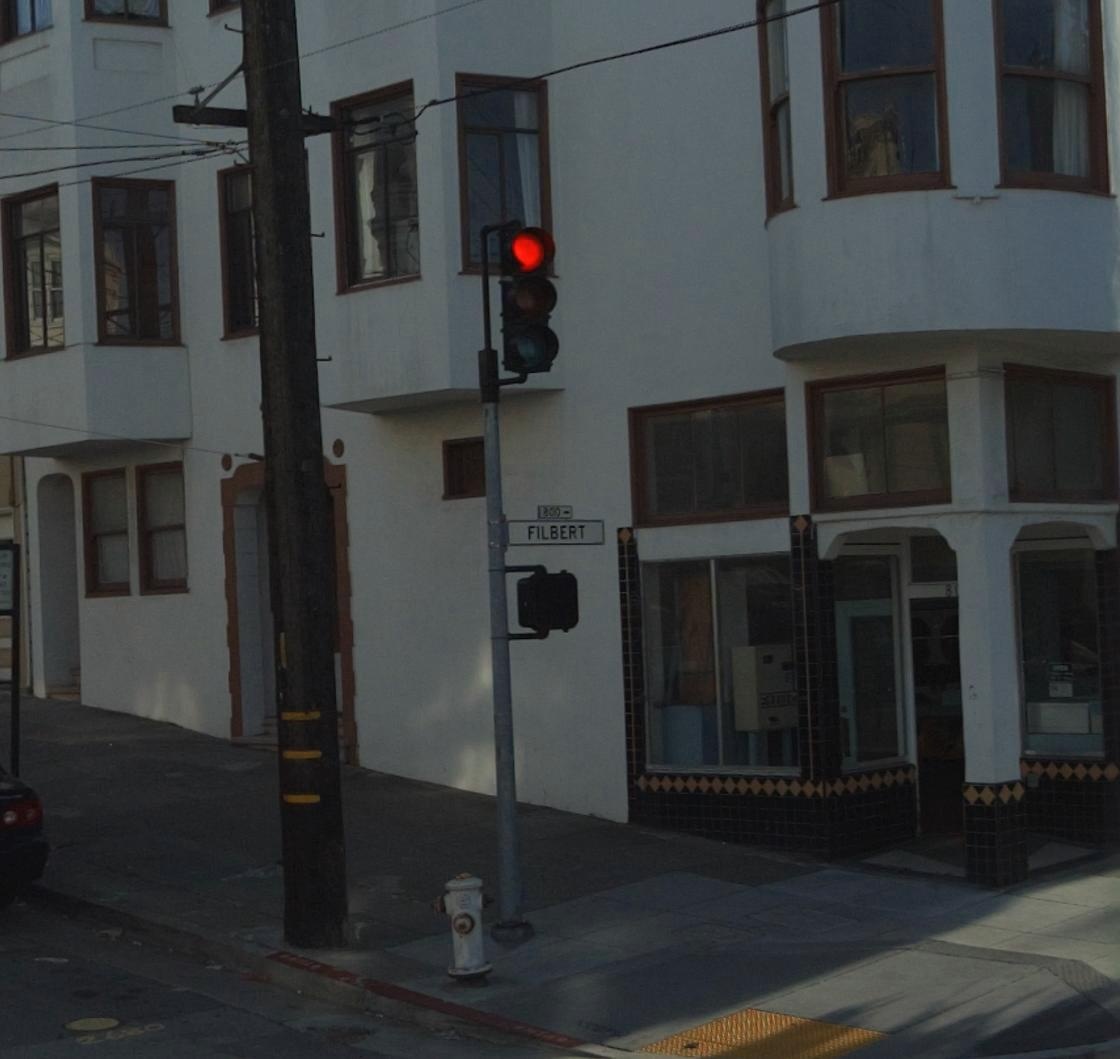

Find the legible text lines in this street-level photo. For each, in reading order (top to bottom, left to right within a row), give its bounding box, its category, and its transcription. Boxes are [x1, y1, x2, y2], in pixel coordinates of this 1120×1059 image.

[540, 504, 571, 520] StreetNumberRange: 800->
[525, 522, 588, 543] StreetName: FILBERT